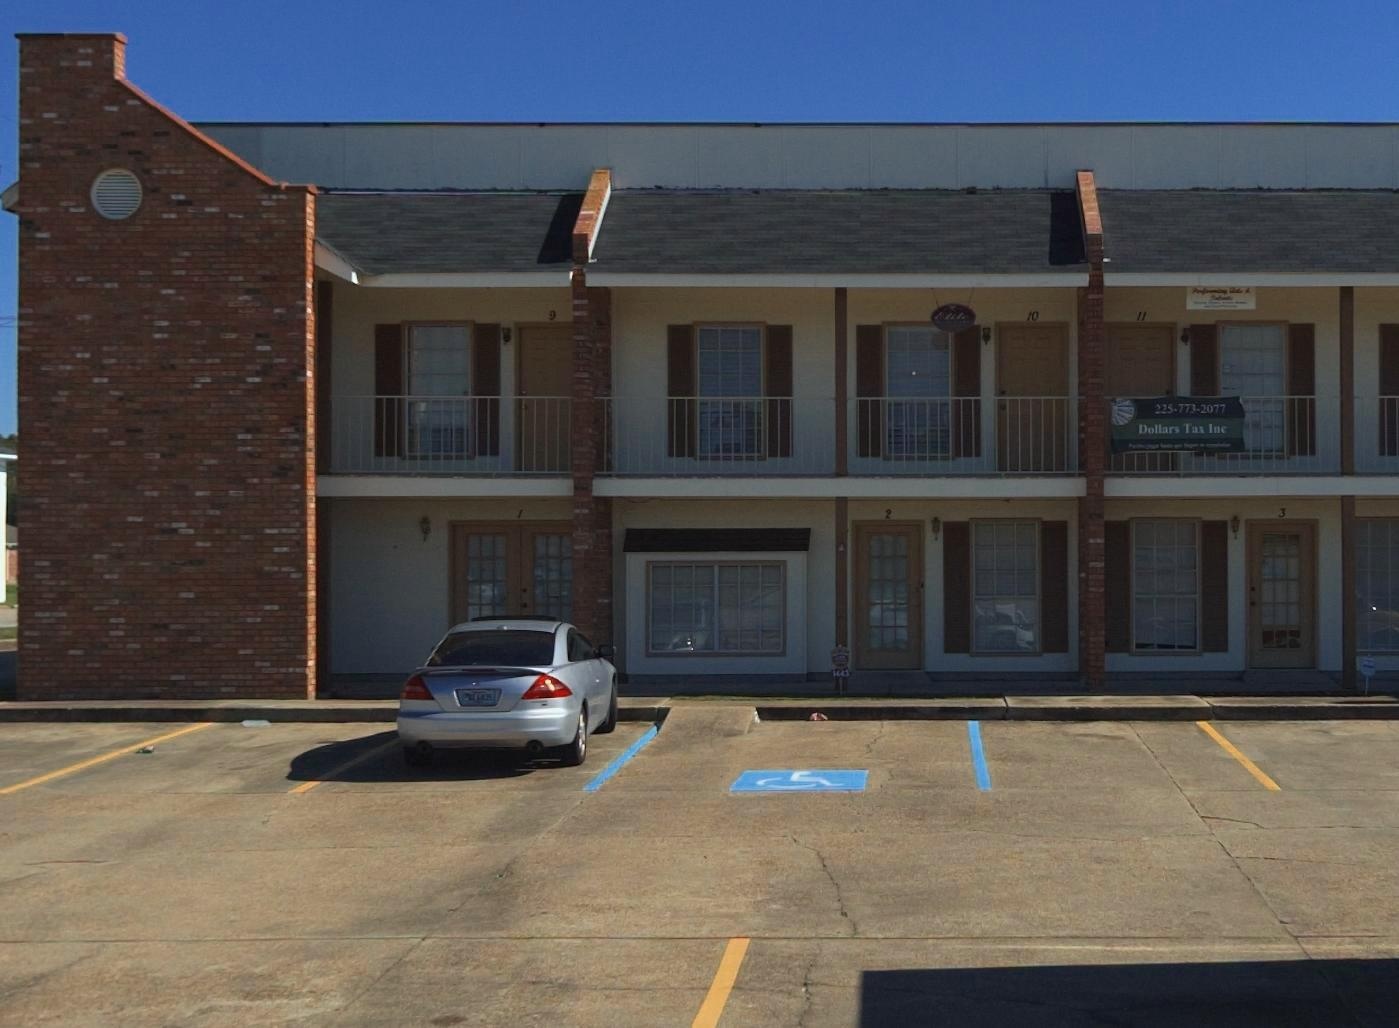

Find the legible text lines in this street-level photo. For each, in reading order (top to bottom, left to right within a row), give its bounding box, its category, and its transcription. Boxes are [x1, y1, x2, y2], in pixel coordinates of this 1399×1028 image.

[546, 308, 559, 322] StreetNumber: 9
[1023, 308, 1042, 324] StreetNumber: 10
[1133, 308, 1149, 324] StreetNumber: 11
[1153, 401, 1229, 417] None: 225-773-2077
[1136, 421, 1231, 438] None: Dollars Tax Inc
[514, 506, 525, 520] StreetNumber: 1
[883, 507, 893, 521] StreetNumber: 2
[1275, 504, 1288, 520] StreetNumber: 3
[830, 668, 852, 679] StreetNumber: 1443